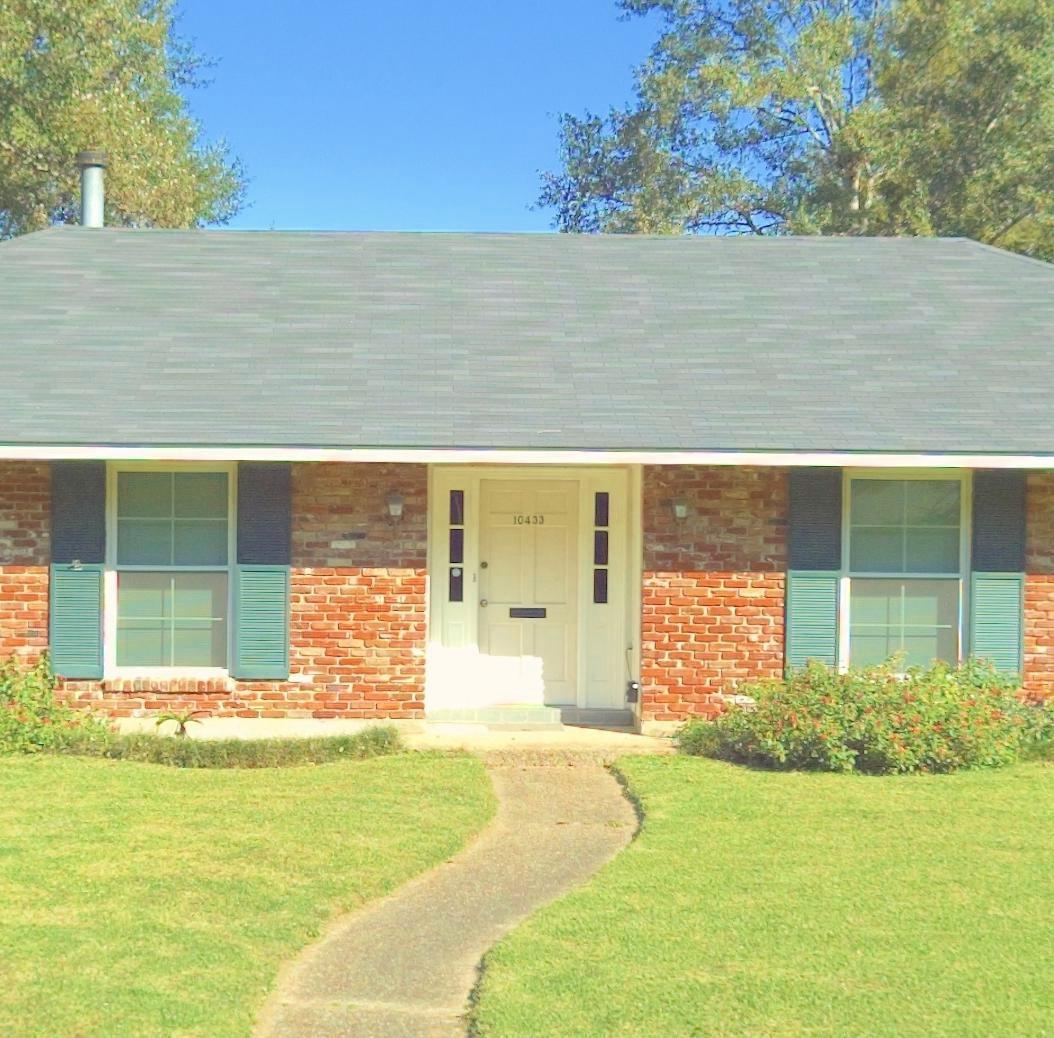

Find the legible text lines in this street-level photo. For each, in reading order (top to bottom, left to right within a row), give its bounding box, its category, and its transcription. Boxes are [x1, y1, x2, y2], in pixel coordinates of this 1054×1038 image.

[512, 514, 546, 527] StreetNumber: 10433